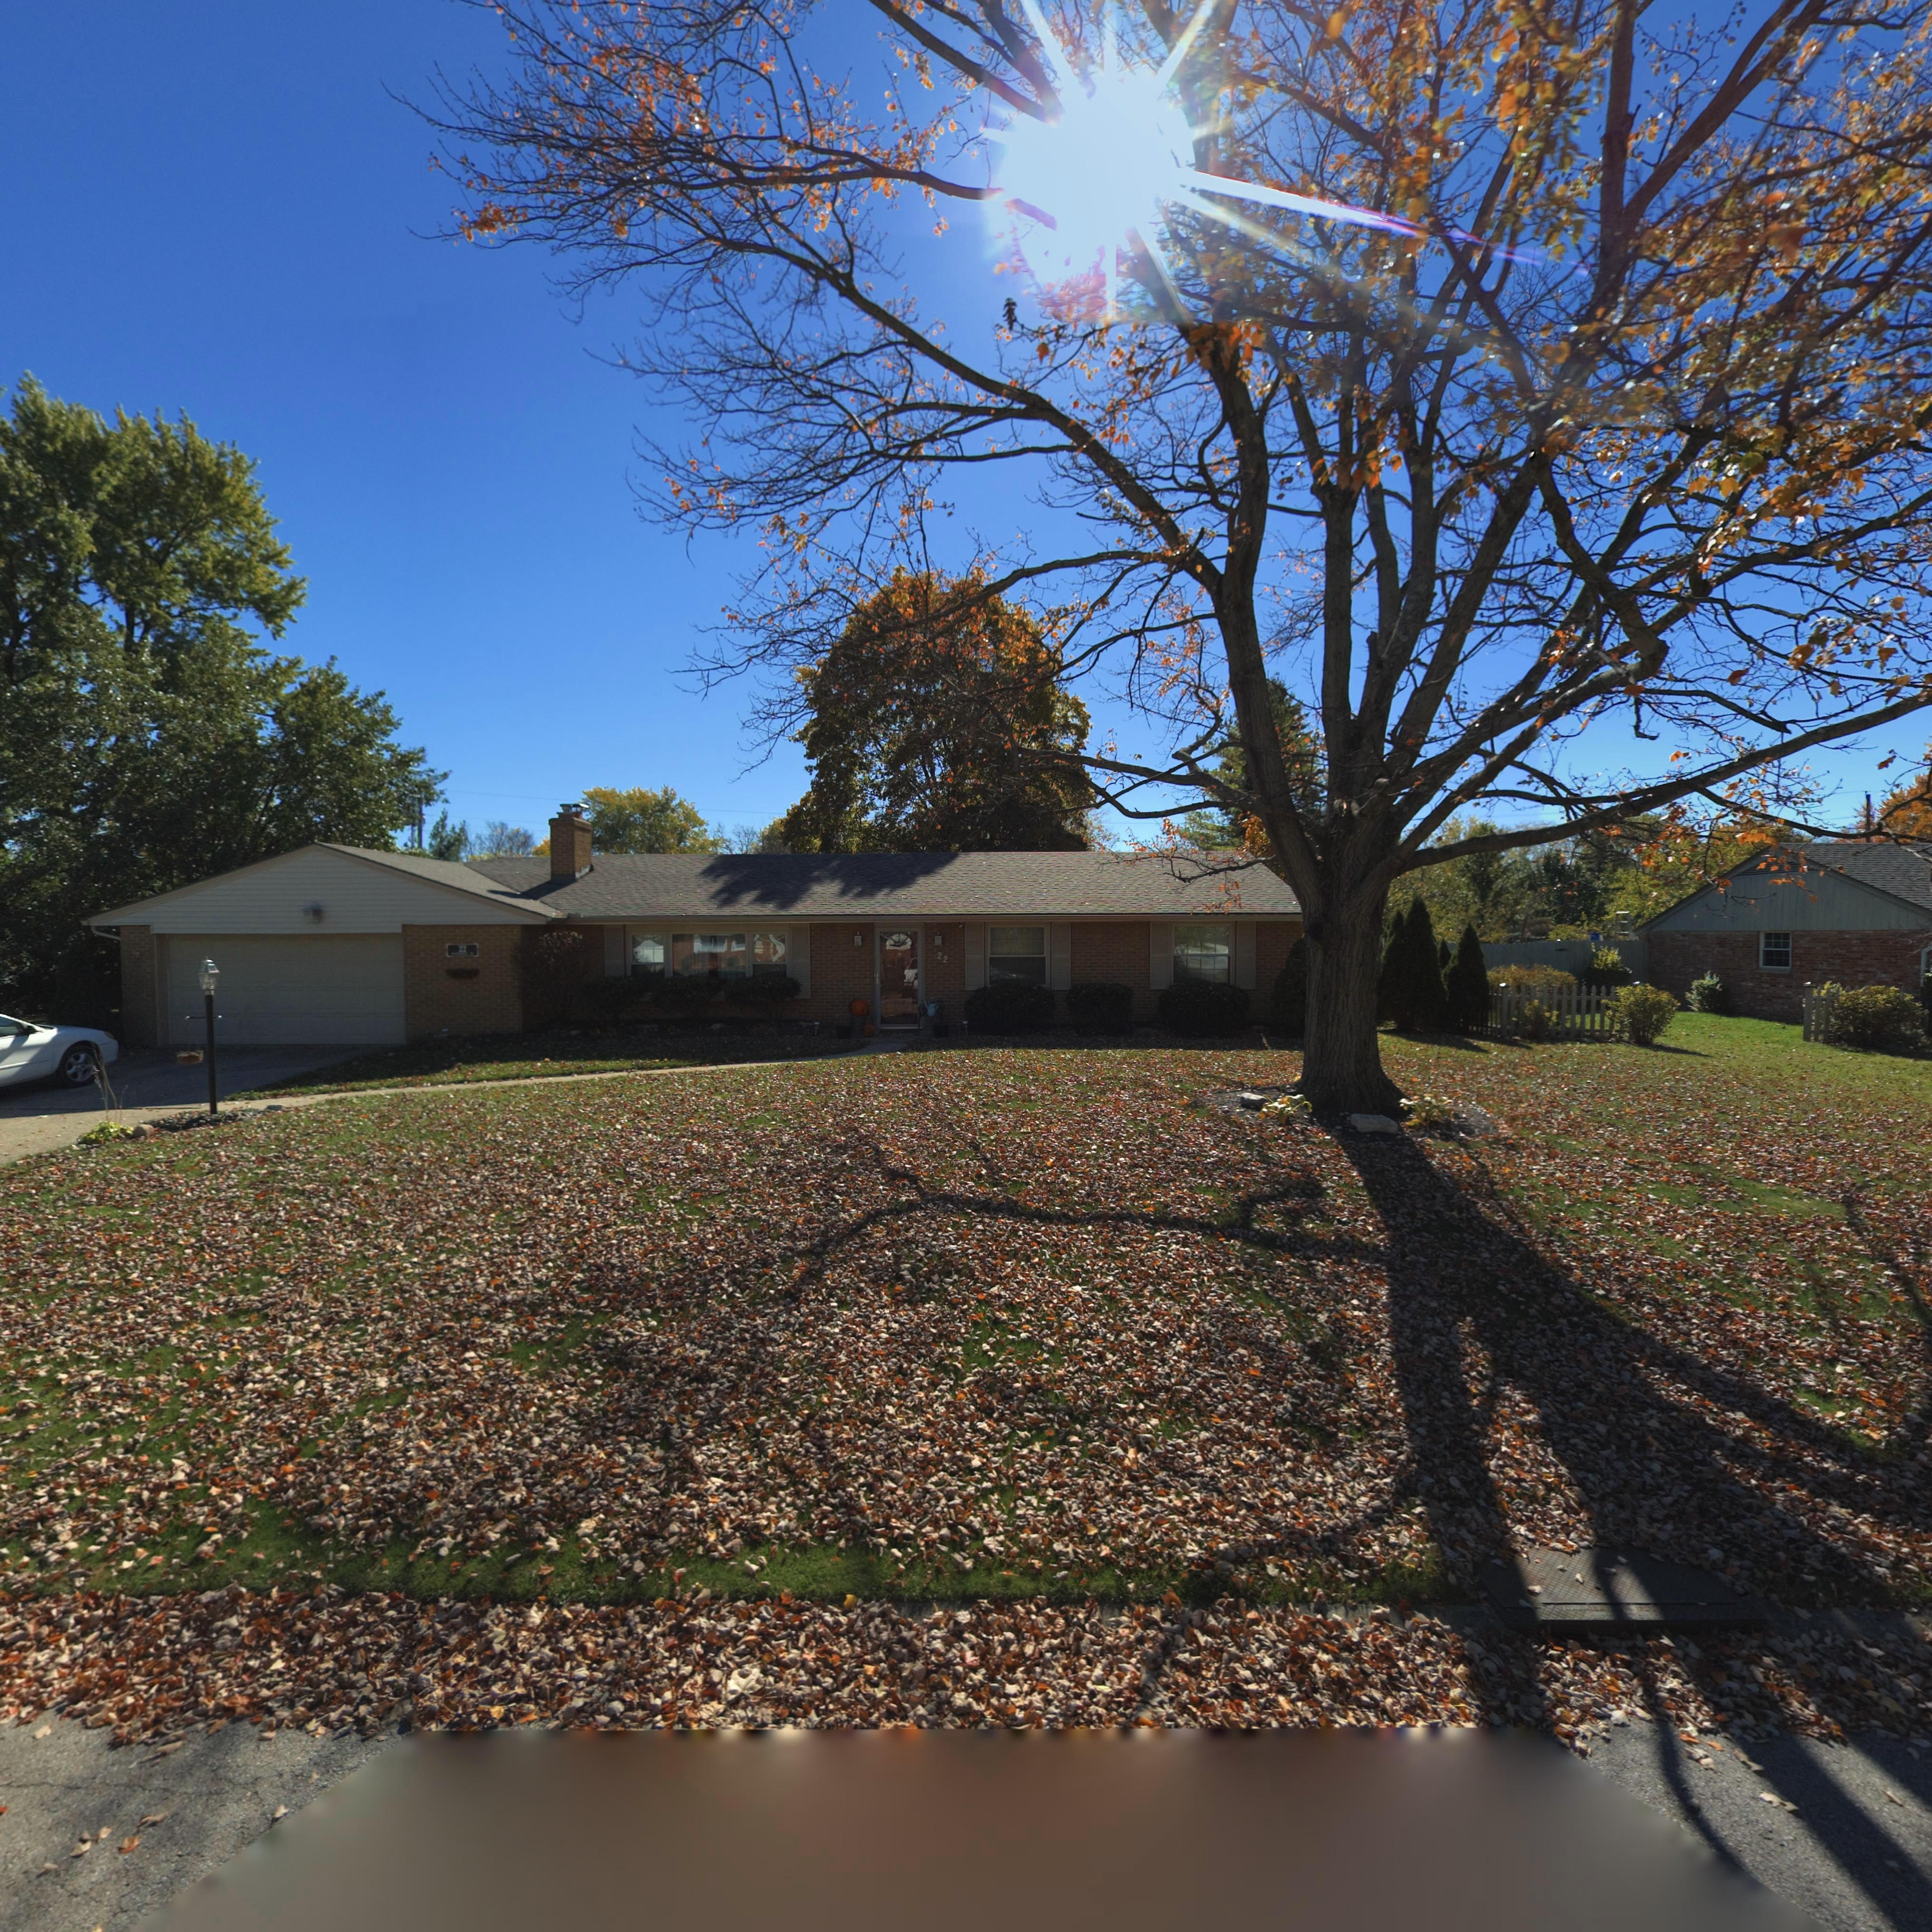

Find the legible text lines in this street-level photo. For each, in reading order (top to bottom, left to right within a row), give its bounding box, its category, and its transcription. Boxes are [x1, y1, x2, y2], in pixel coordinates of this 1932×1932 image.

[458, 945, 467, 953] StreetNumber: 22
[936, 951, 949, 964] StreetNumber: 22